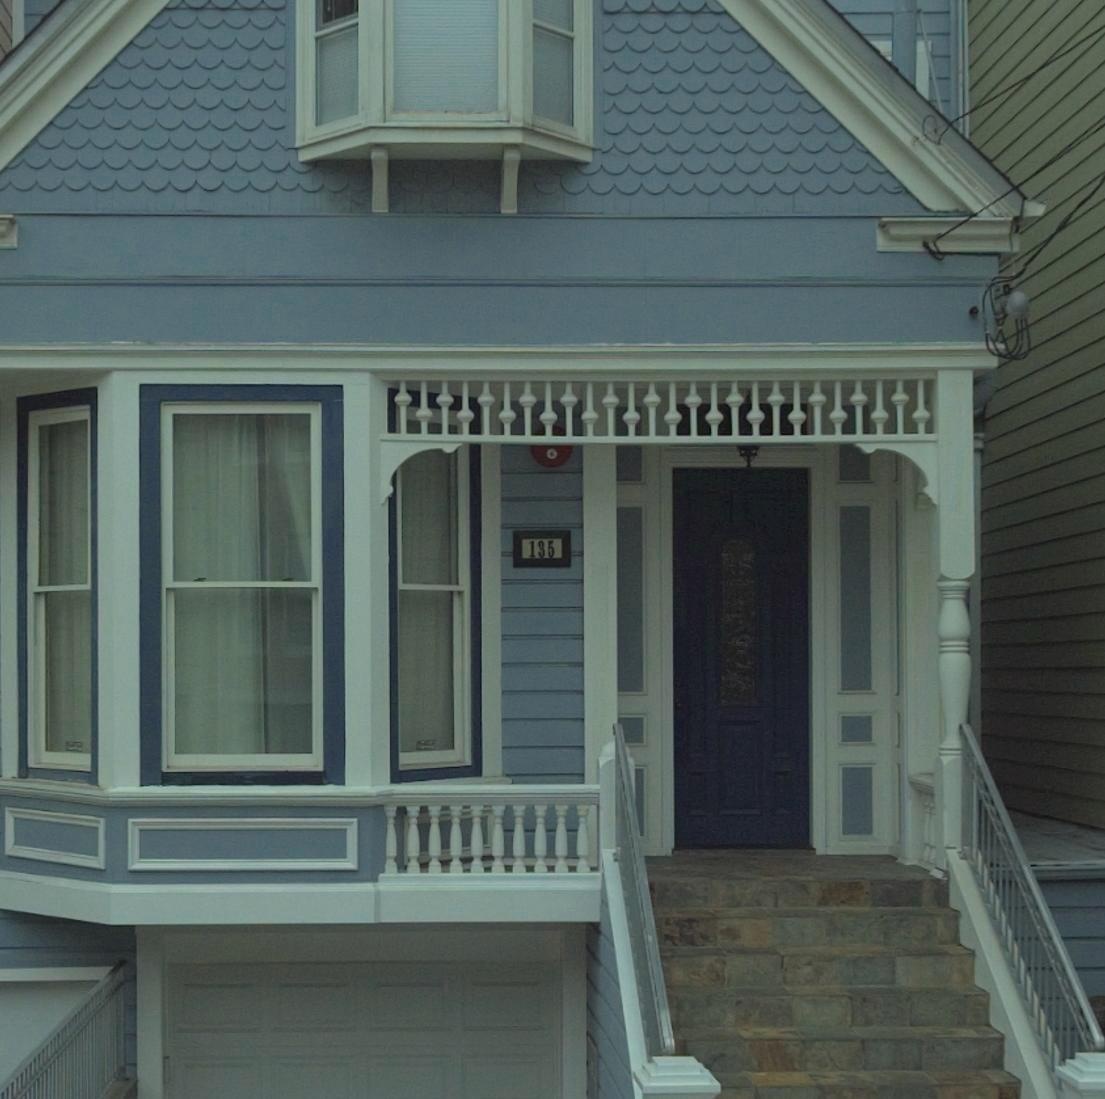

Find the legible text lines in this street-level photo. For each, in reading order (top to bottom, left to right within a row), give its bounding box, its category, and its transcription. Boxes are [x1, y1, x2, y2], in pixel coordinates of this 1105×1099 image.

[528, 538, 556, 559] StreetNumber: 135